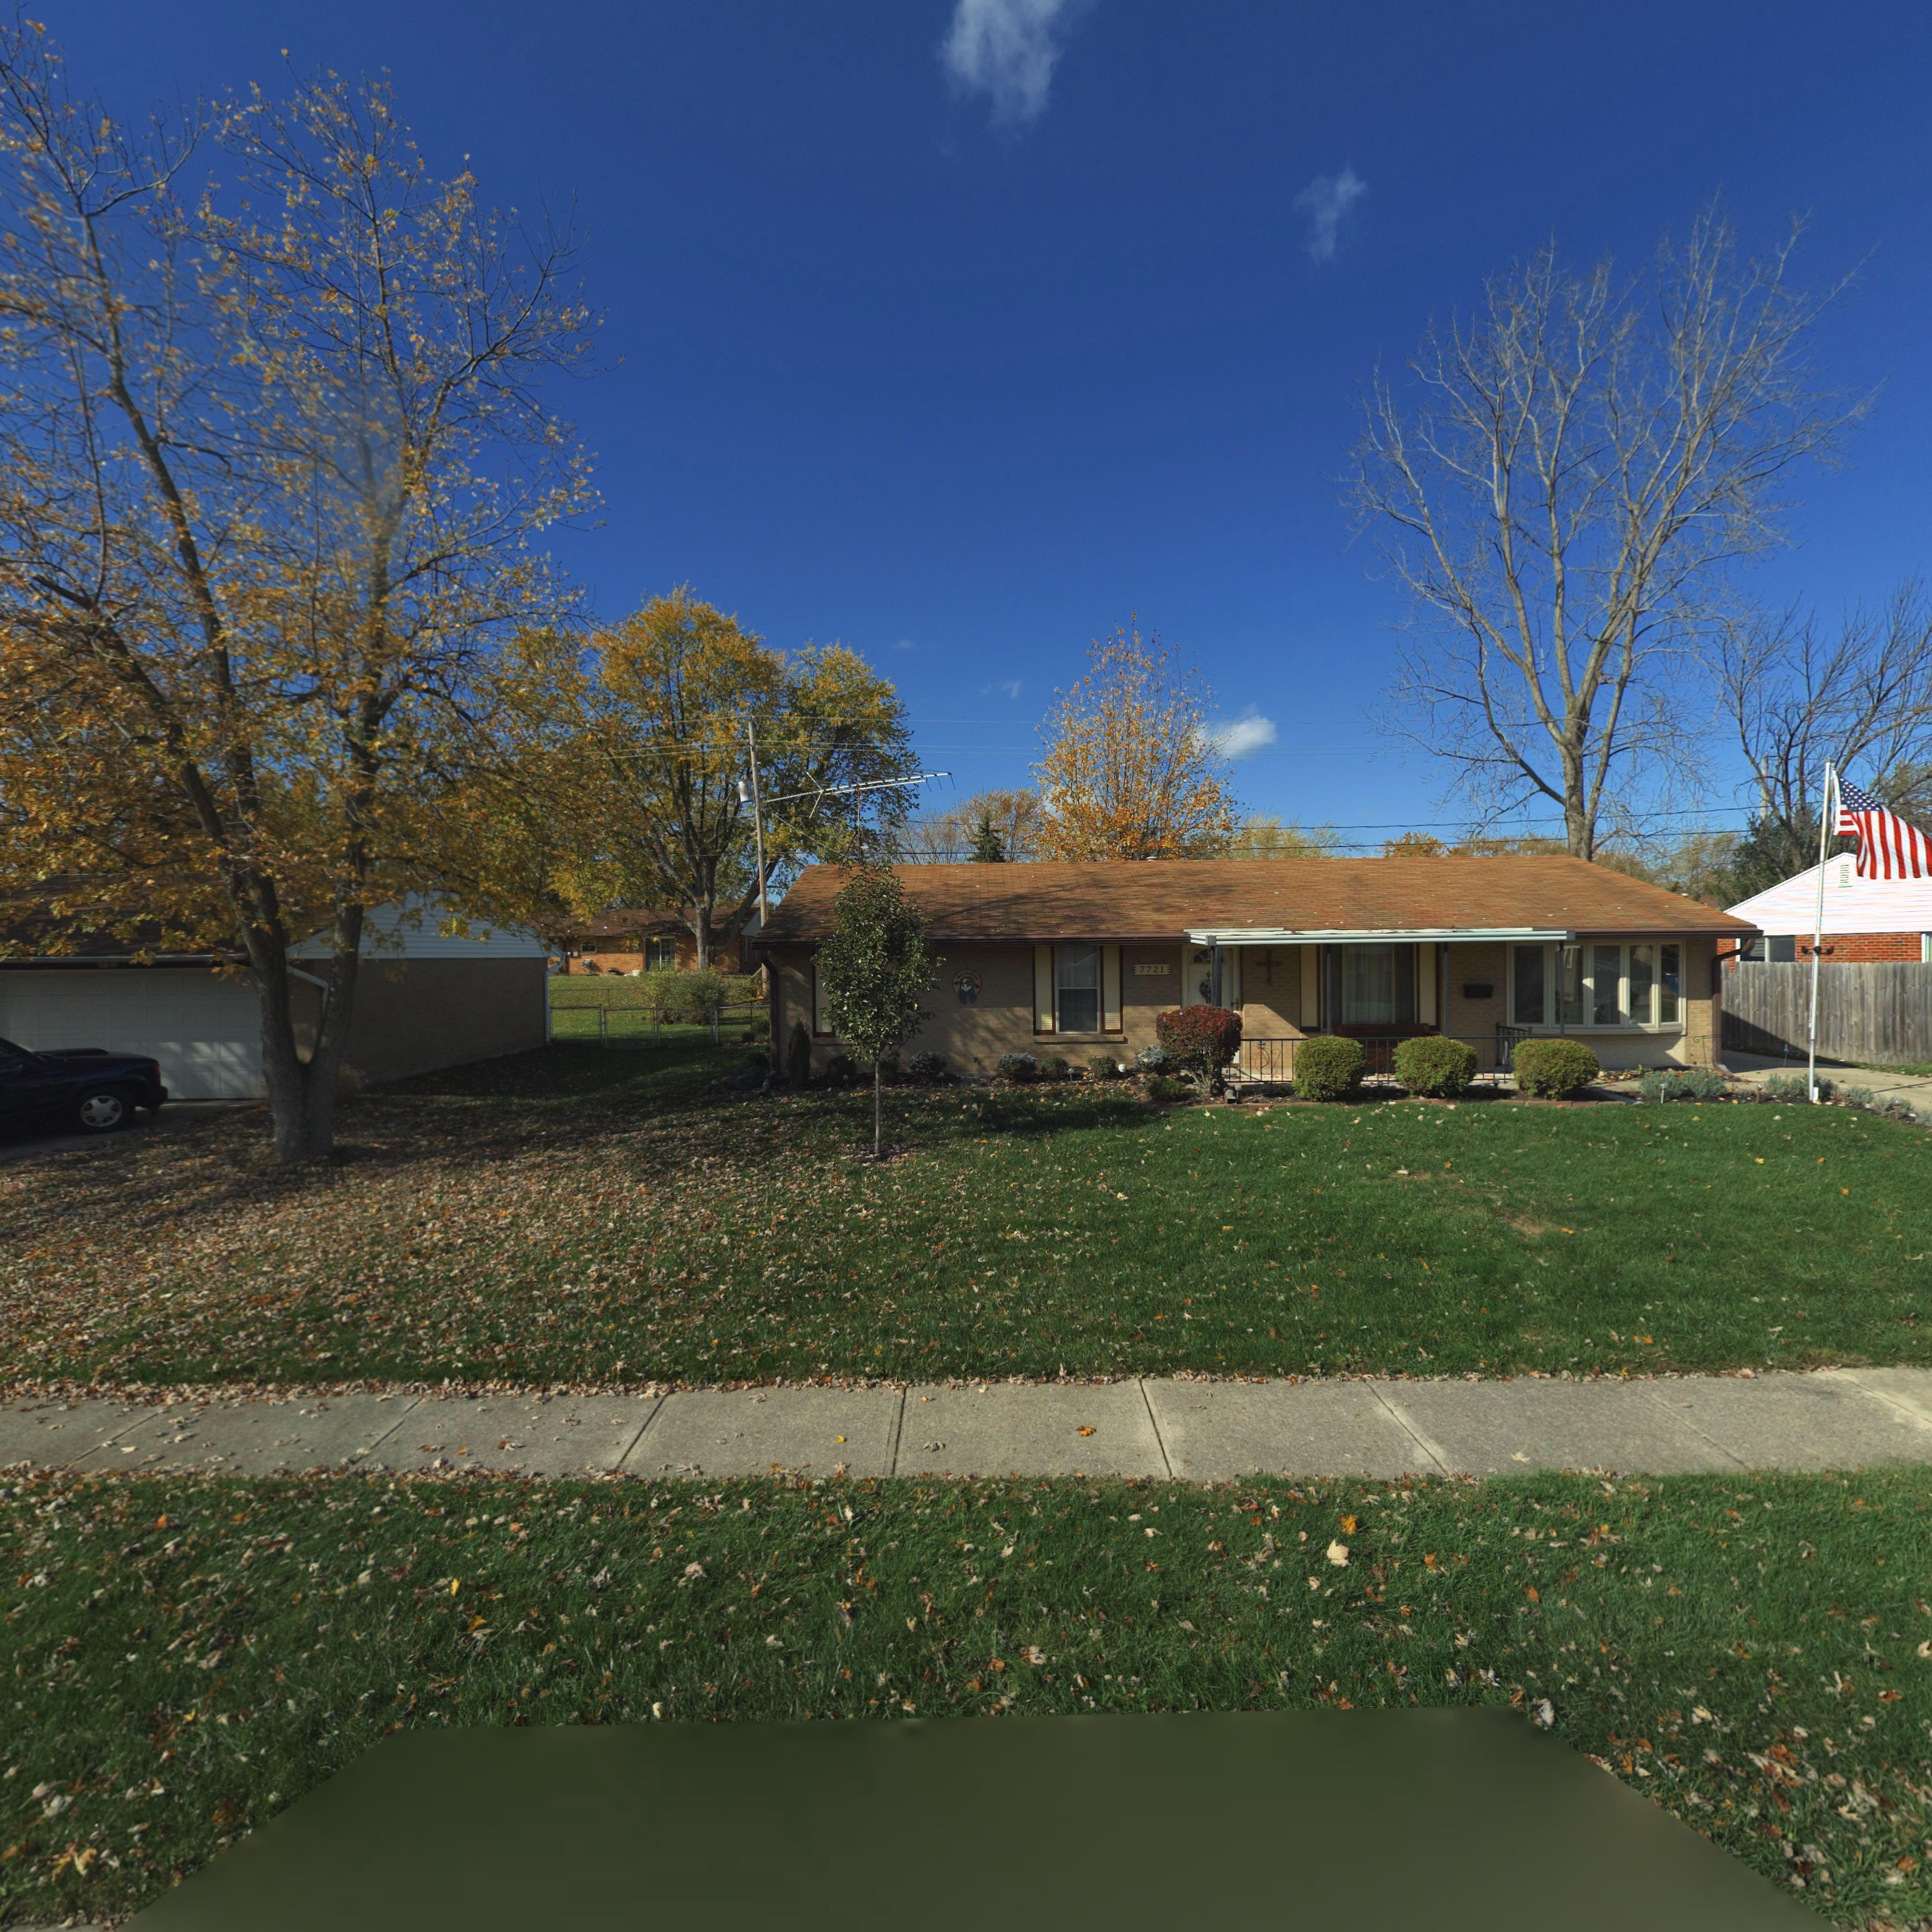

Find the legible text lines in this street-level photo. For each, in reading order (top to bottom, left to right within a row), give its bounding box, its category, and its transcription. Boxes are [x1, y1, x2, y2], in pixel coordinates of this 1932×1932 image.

[1139, 965, 1165, 975] StreetNumber: 7721